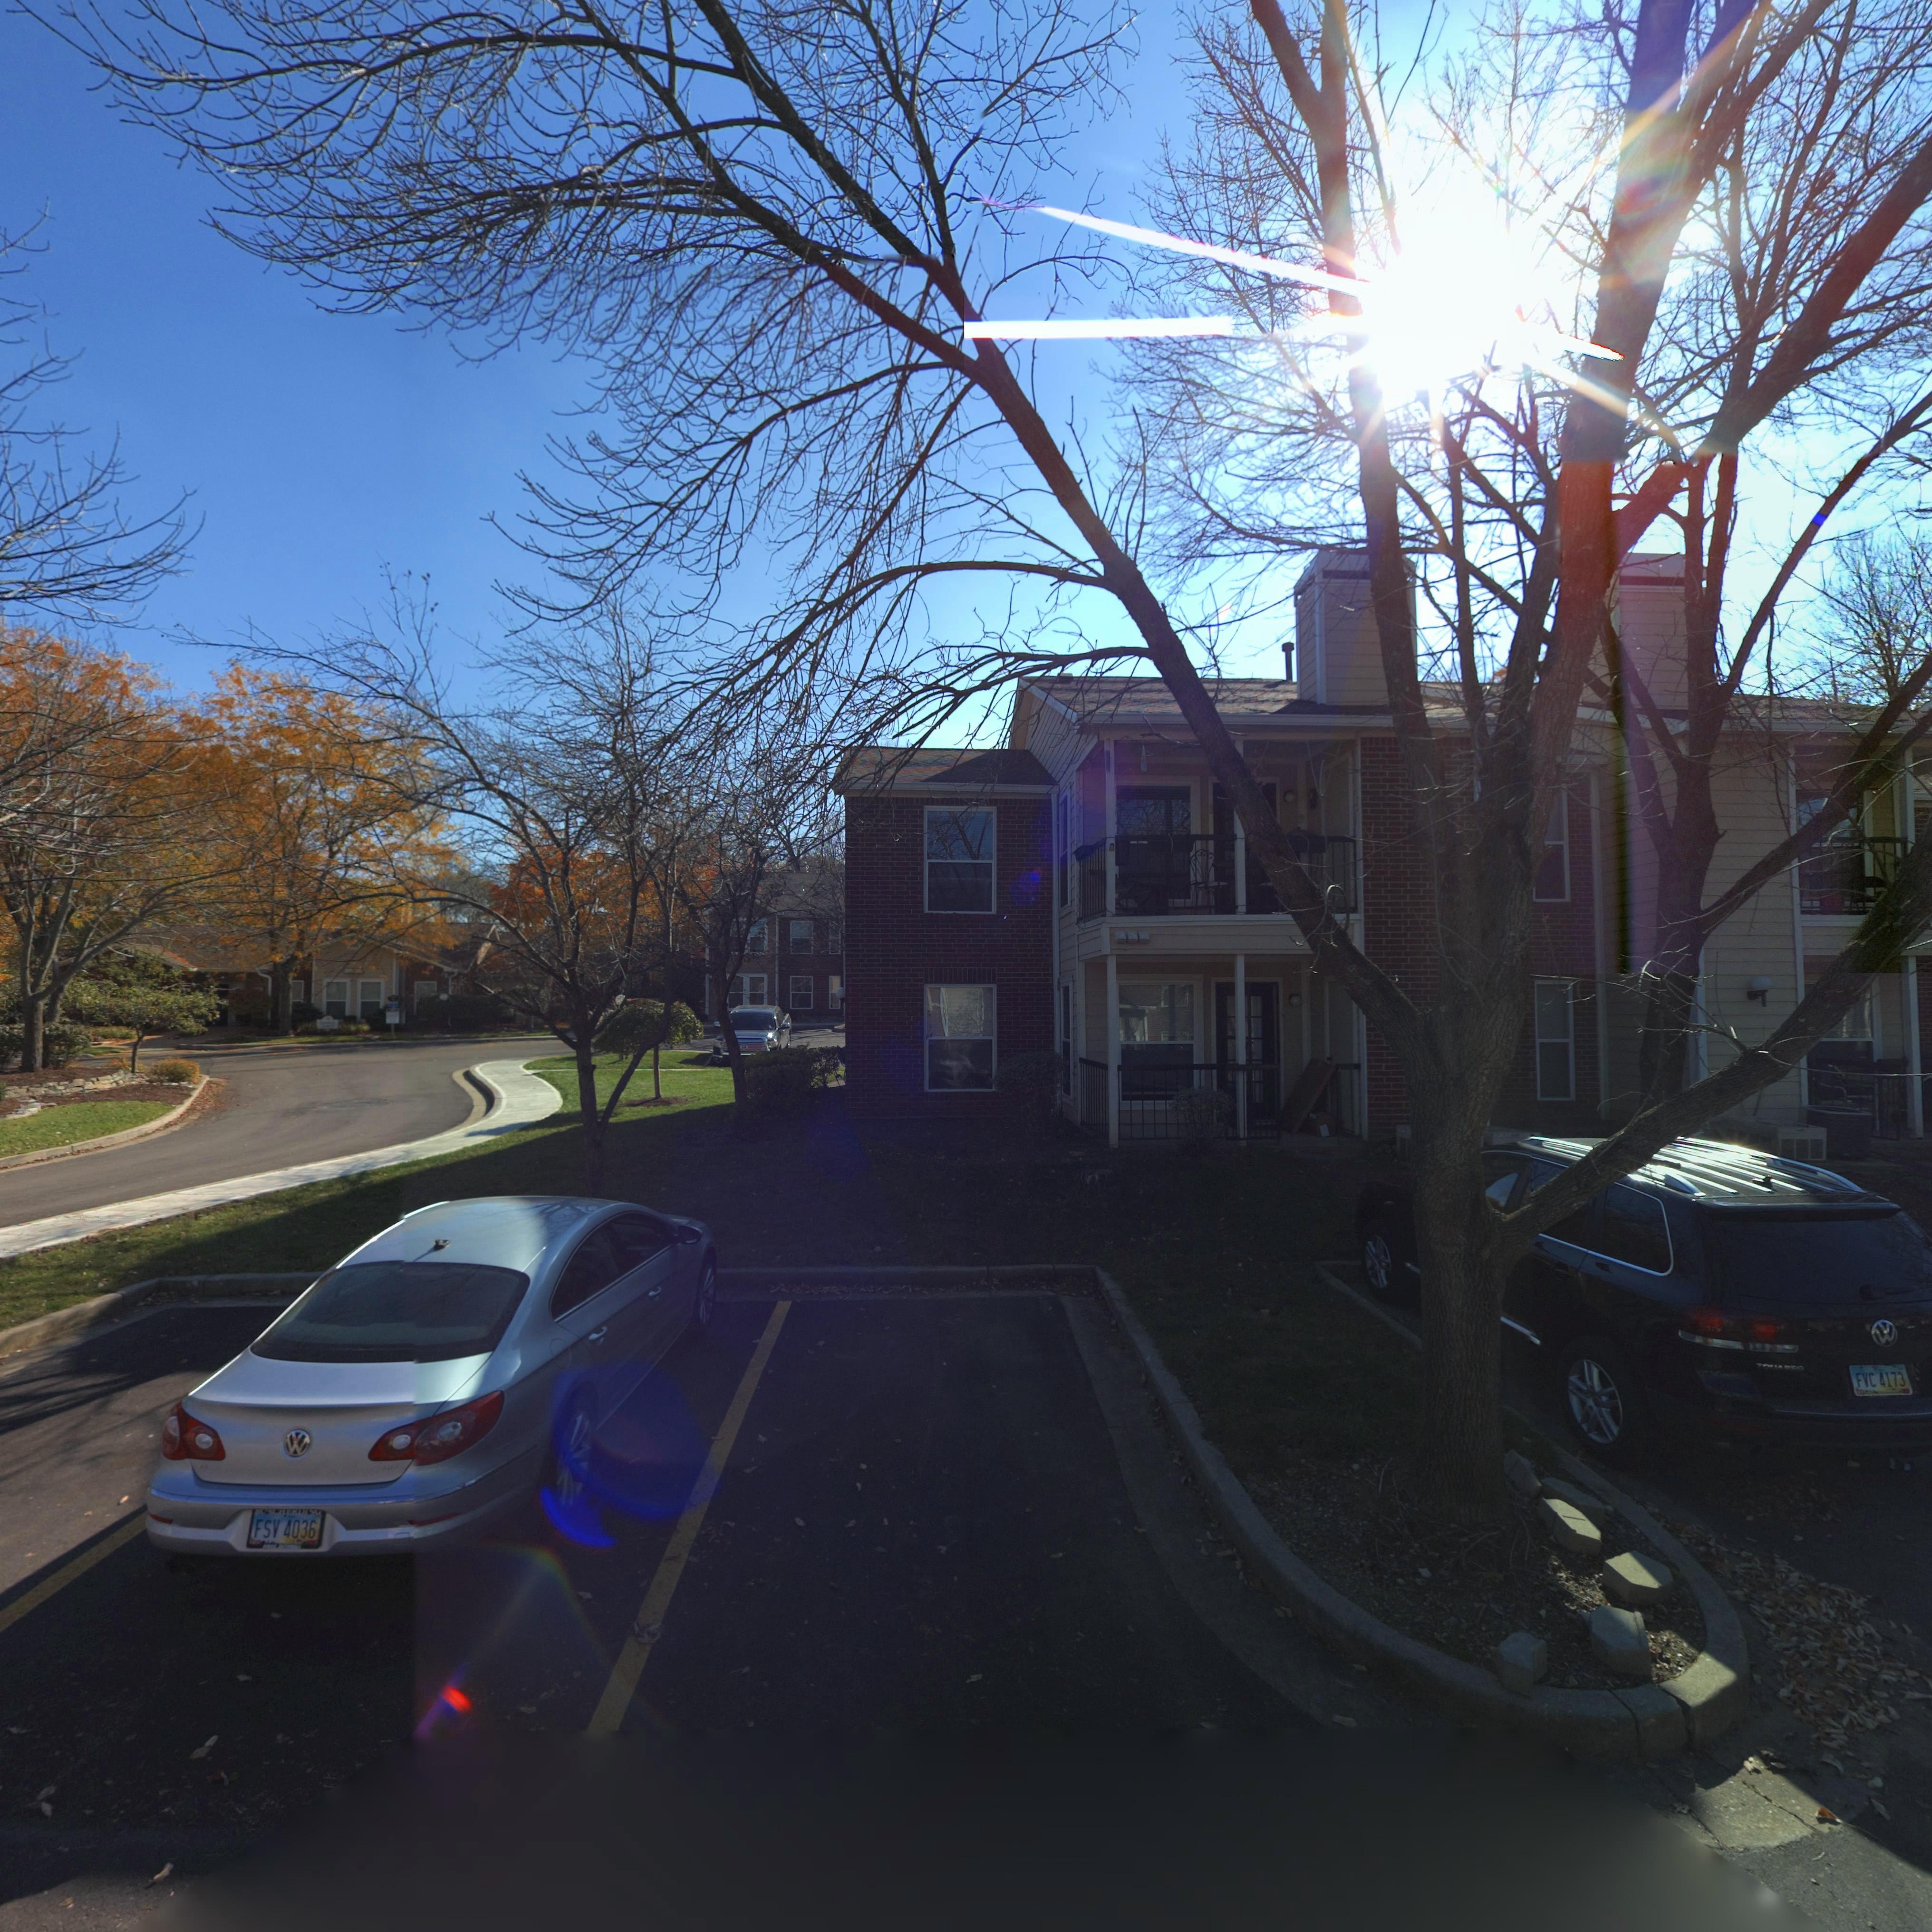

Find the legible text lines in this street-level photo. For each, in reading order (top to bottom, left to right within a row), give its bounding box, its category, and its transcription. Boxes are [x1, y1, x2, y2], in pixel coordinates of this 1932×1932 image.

[1853, 1370, 1909, 1390] None: FVC 4173
[253, 1516, 319, 1540] None: FSV 4036